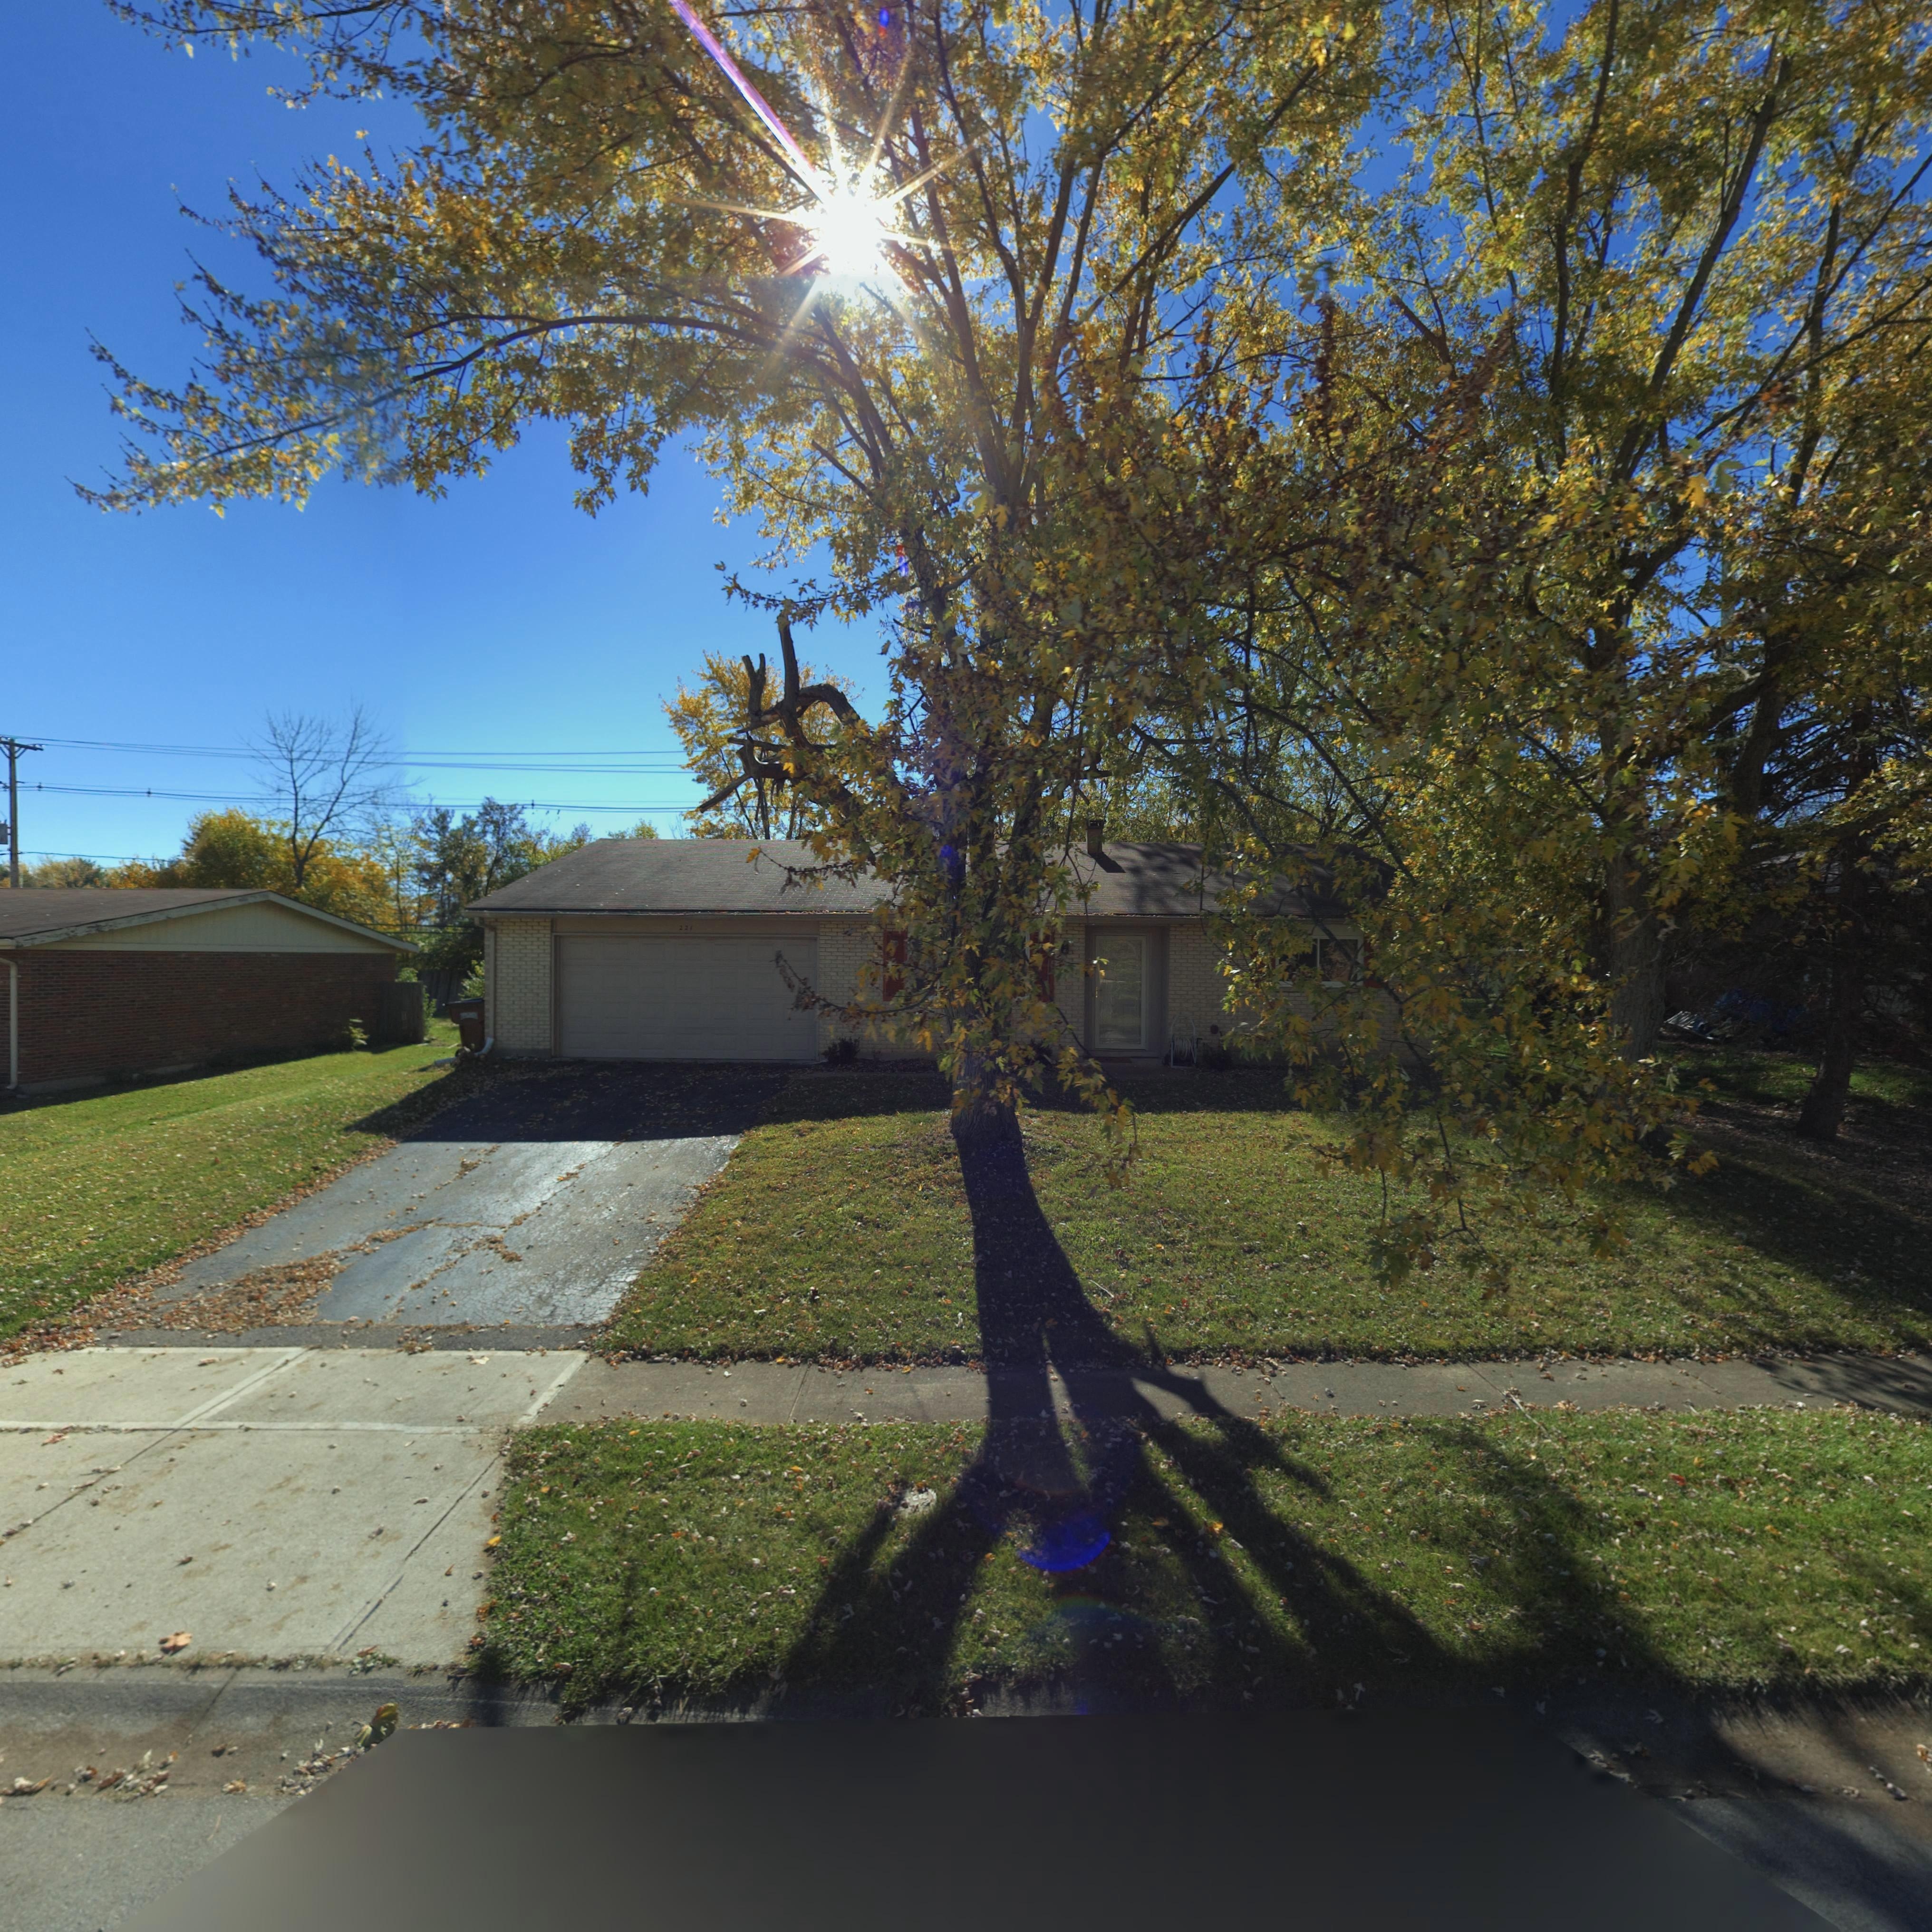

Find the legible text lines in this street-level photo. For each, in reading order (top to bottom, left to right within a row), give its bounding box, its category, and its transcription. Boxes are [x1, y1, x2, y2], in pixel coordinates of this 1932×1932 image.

[679, 925, 693, 930] StreetNumber: 221